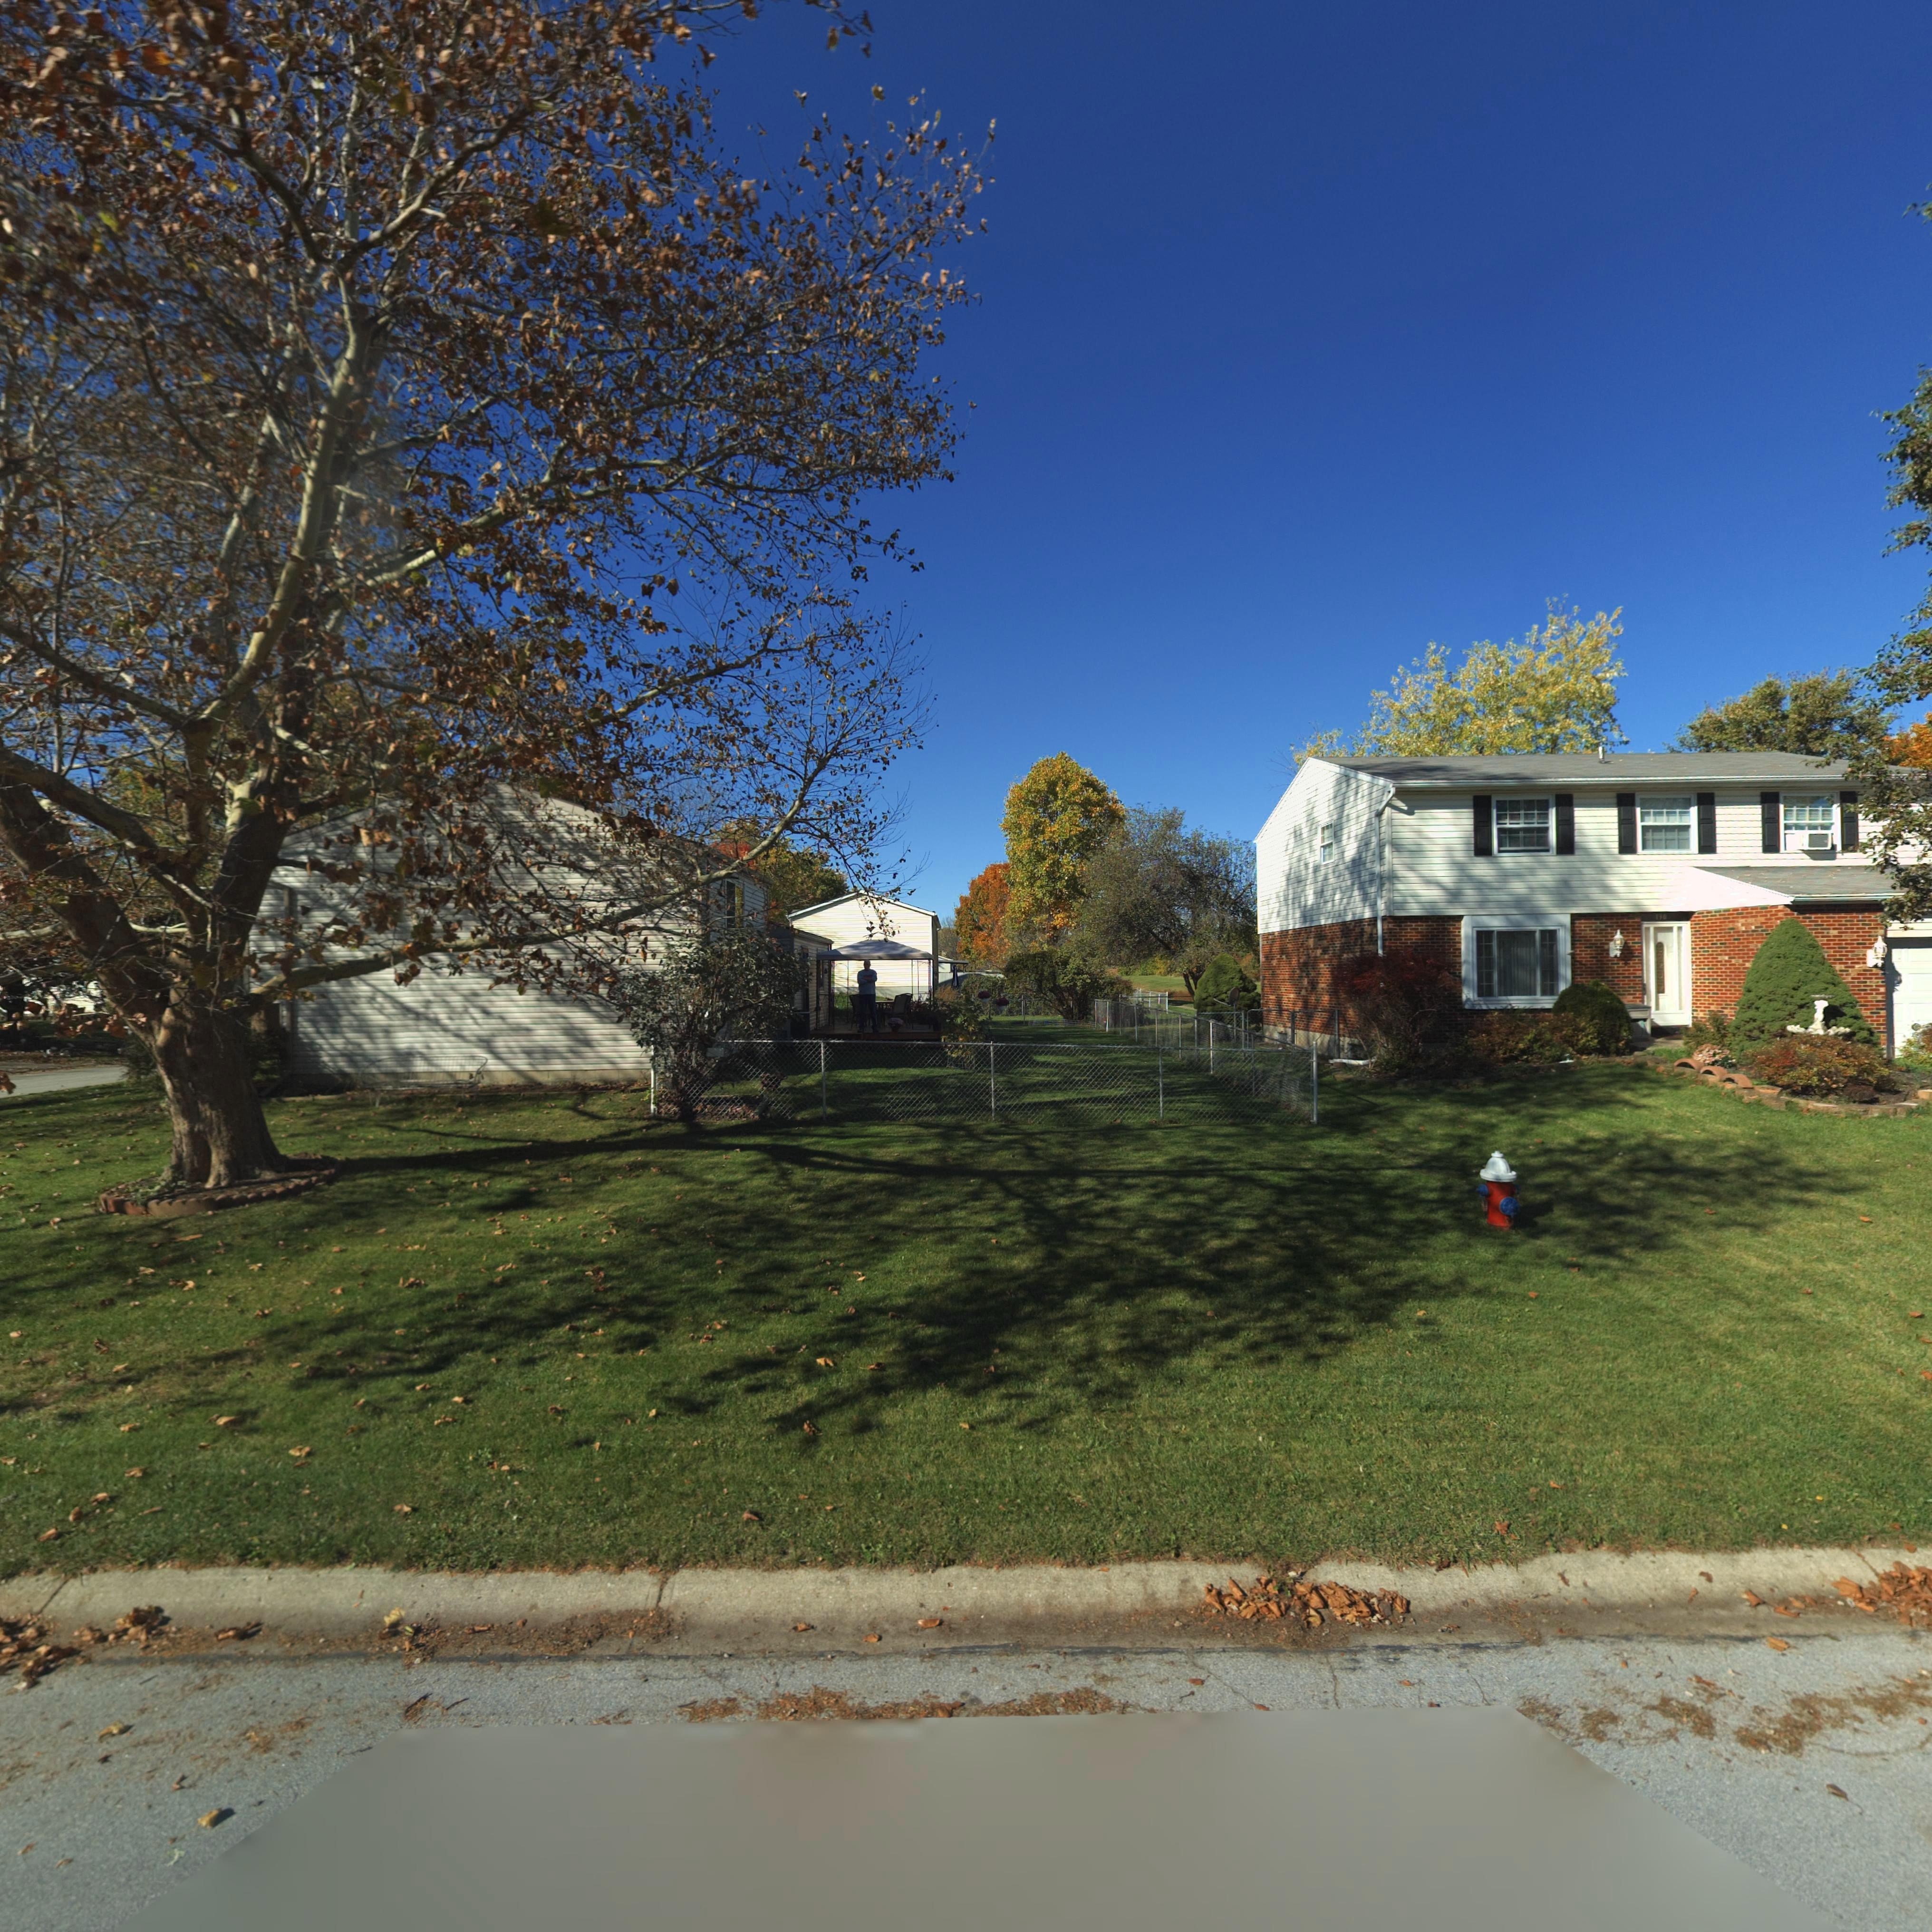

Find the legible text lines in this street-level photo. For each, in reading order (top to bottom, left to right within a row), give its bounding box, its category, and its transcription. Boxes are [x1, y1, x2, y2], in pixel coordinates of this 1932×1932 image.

[1654, 913, 1668, 921] StreetNumber: 13*